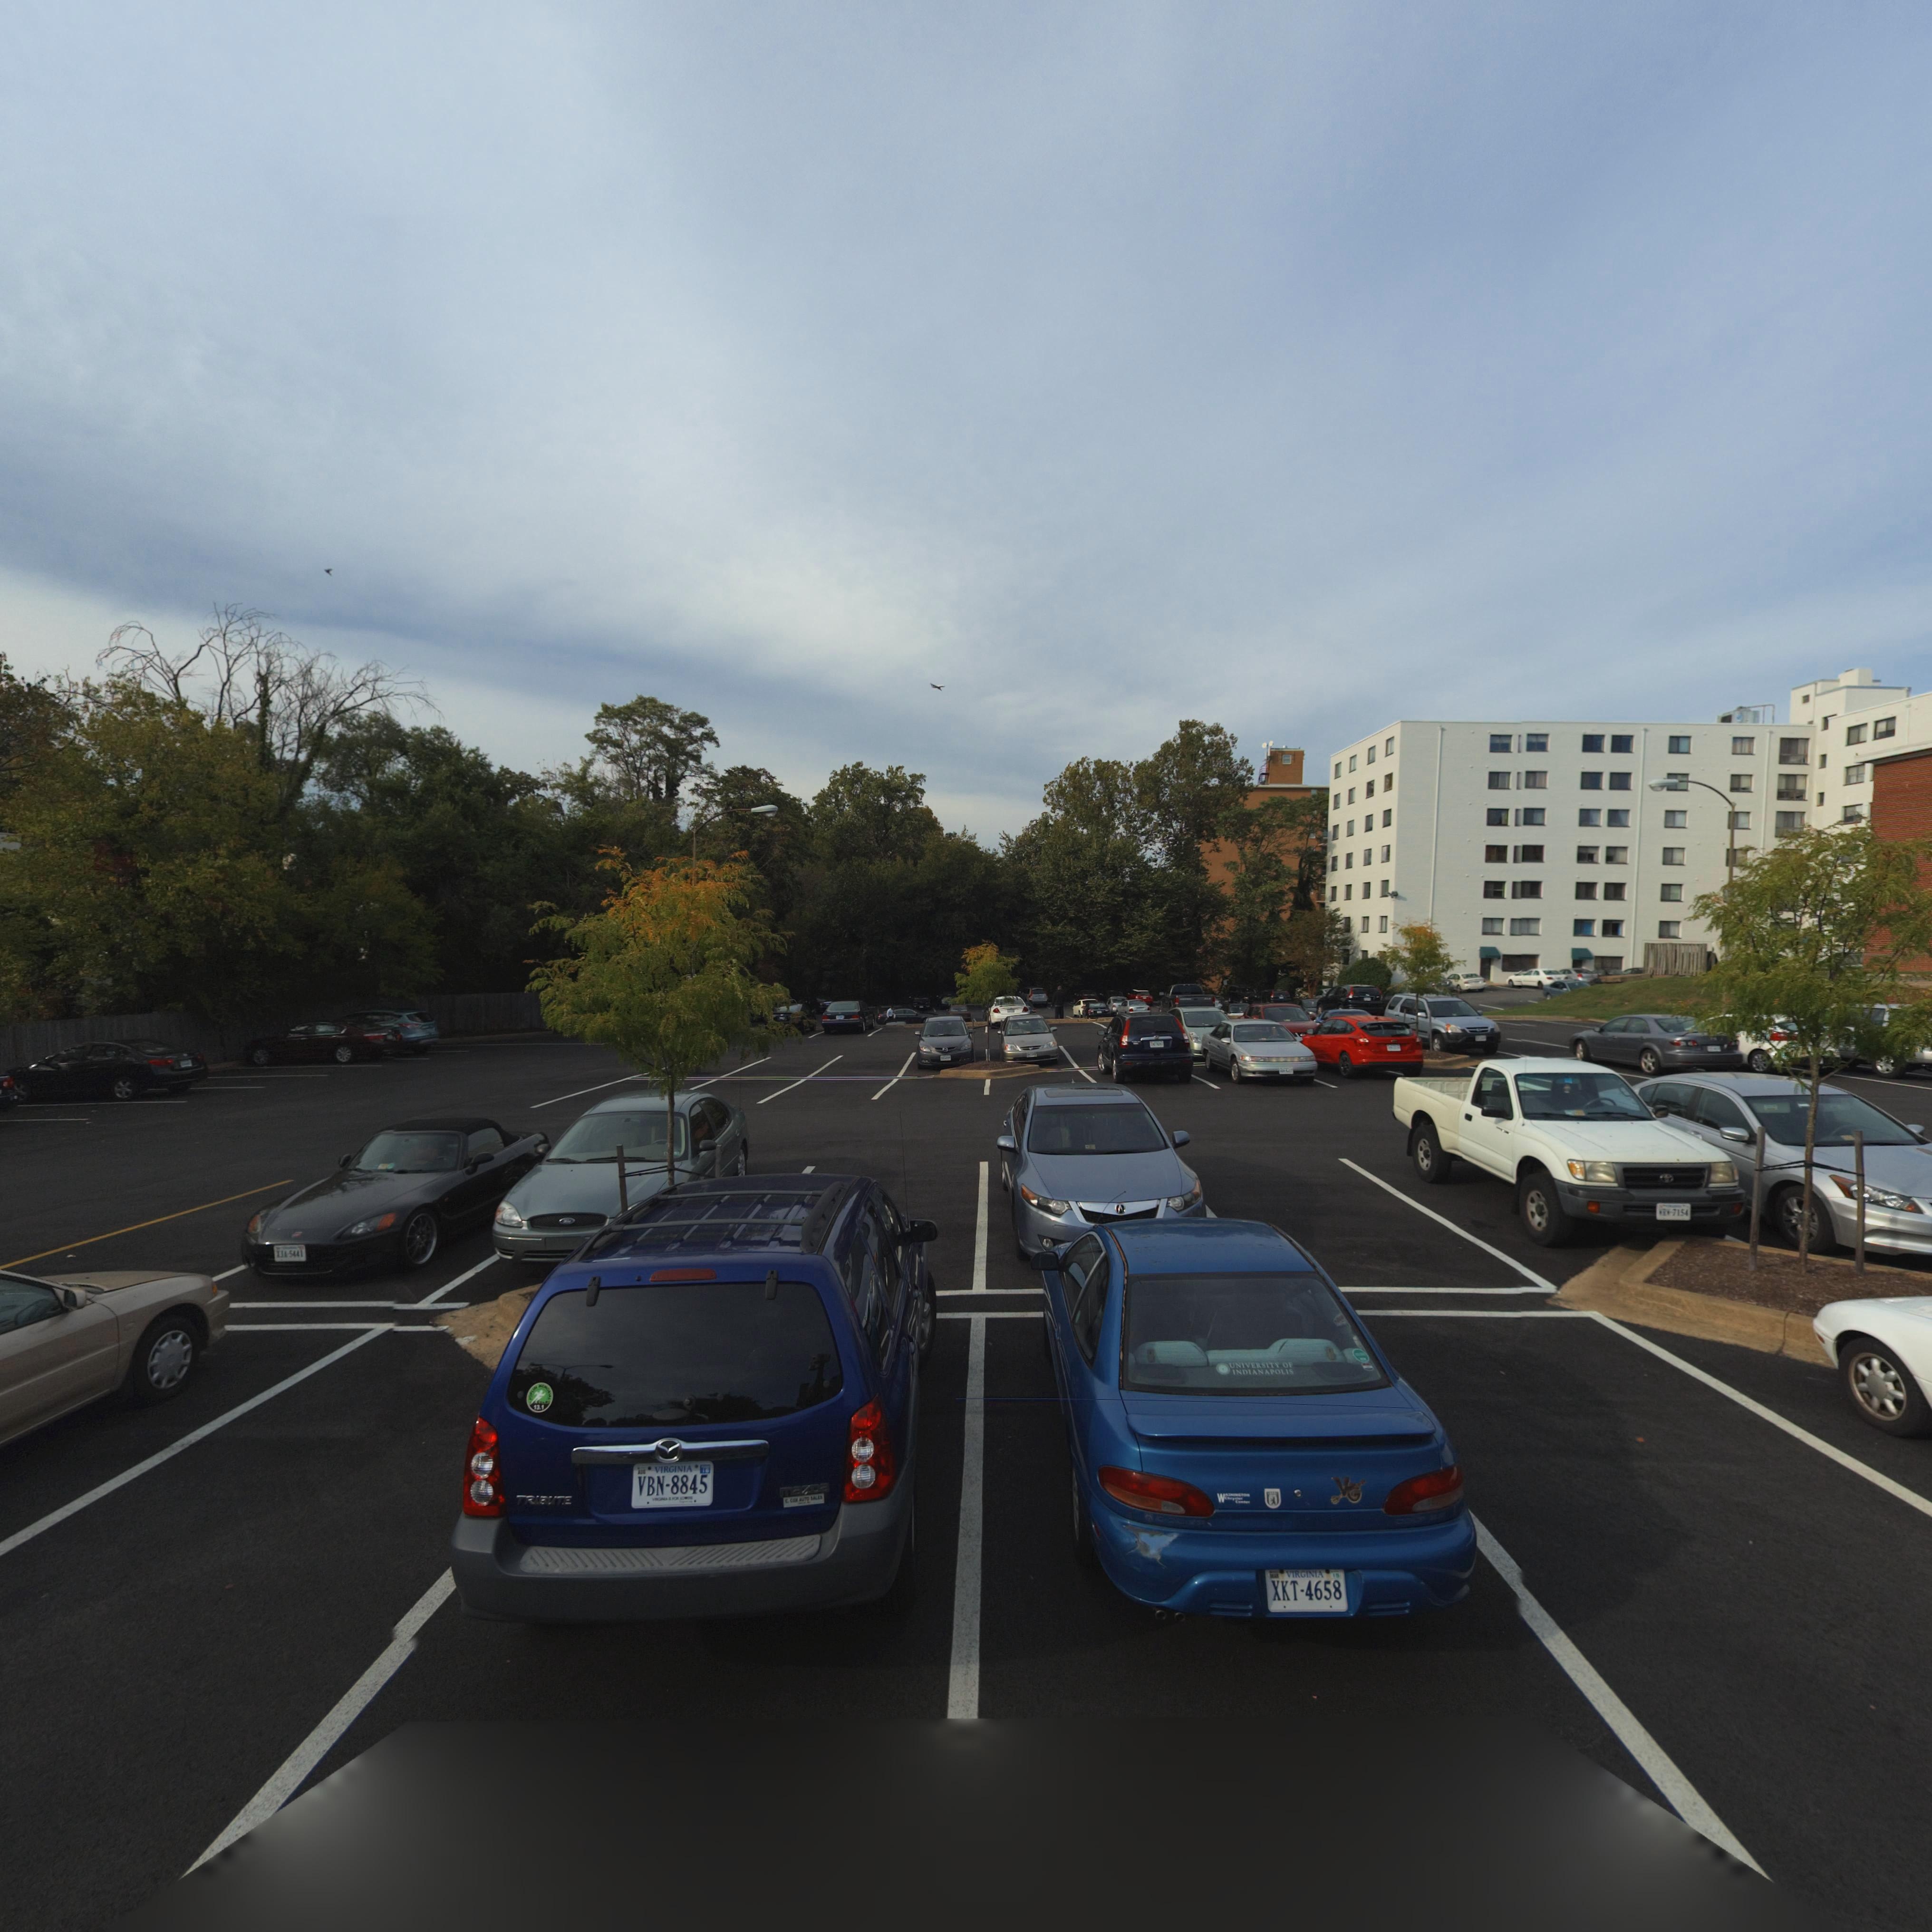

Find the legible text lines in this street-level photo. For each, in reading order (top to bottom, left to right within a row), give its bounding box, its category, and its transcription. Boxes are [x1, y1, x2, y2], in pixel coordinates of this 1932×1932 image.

[1671, 1207, 1690, 1217] None: 7154
[279, 1249, 304, 1258] None: J*-5441
[1228, 1362, 1294, 1368] None: UNIVERSITY OF
[1231, 1368, 1293, 1375] None: INDIANAPOLIS
[533, 1404, 544, 1410] None: 13.1
[655, 1465, 692, 1474] None: VIRGINIA
[702, 1467, 705, 1473] None: 1
[637, 1474, 709, 1497] None: VBN-8845
[778, 1481, 830, 1499] None: maZDa
[513, 1494, 573, 1506] None: TRIBUTE
[784, 1494, 823, 1504] None: C CON AUTO SALES
[1215, 1491, 1227, 1505] None: W
[1269, 1574, 1279, 1578] None: MAR
[1285, 1570, 1324, 1578] None: VIRGINIA
[1332, 1573, 1341, 1578] None: 15
[1270, 1580, 1343, 1601] None: XKT-4658